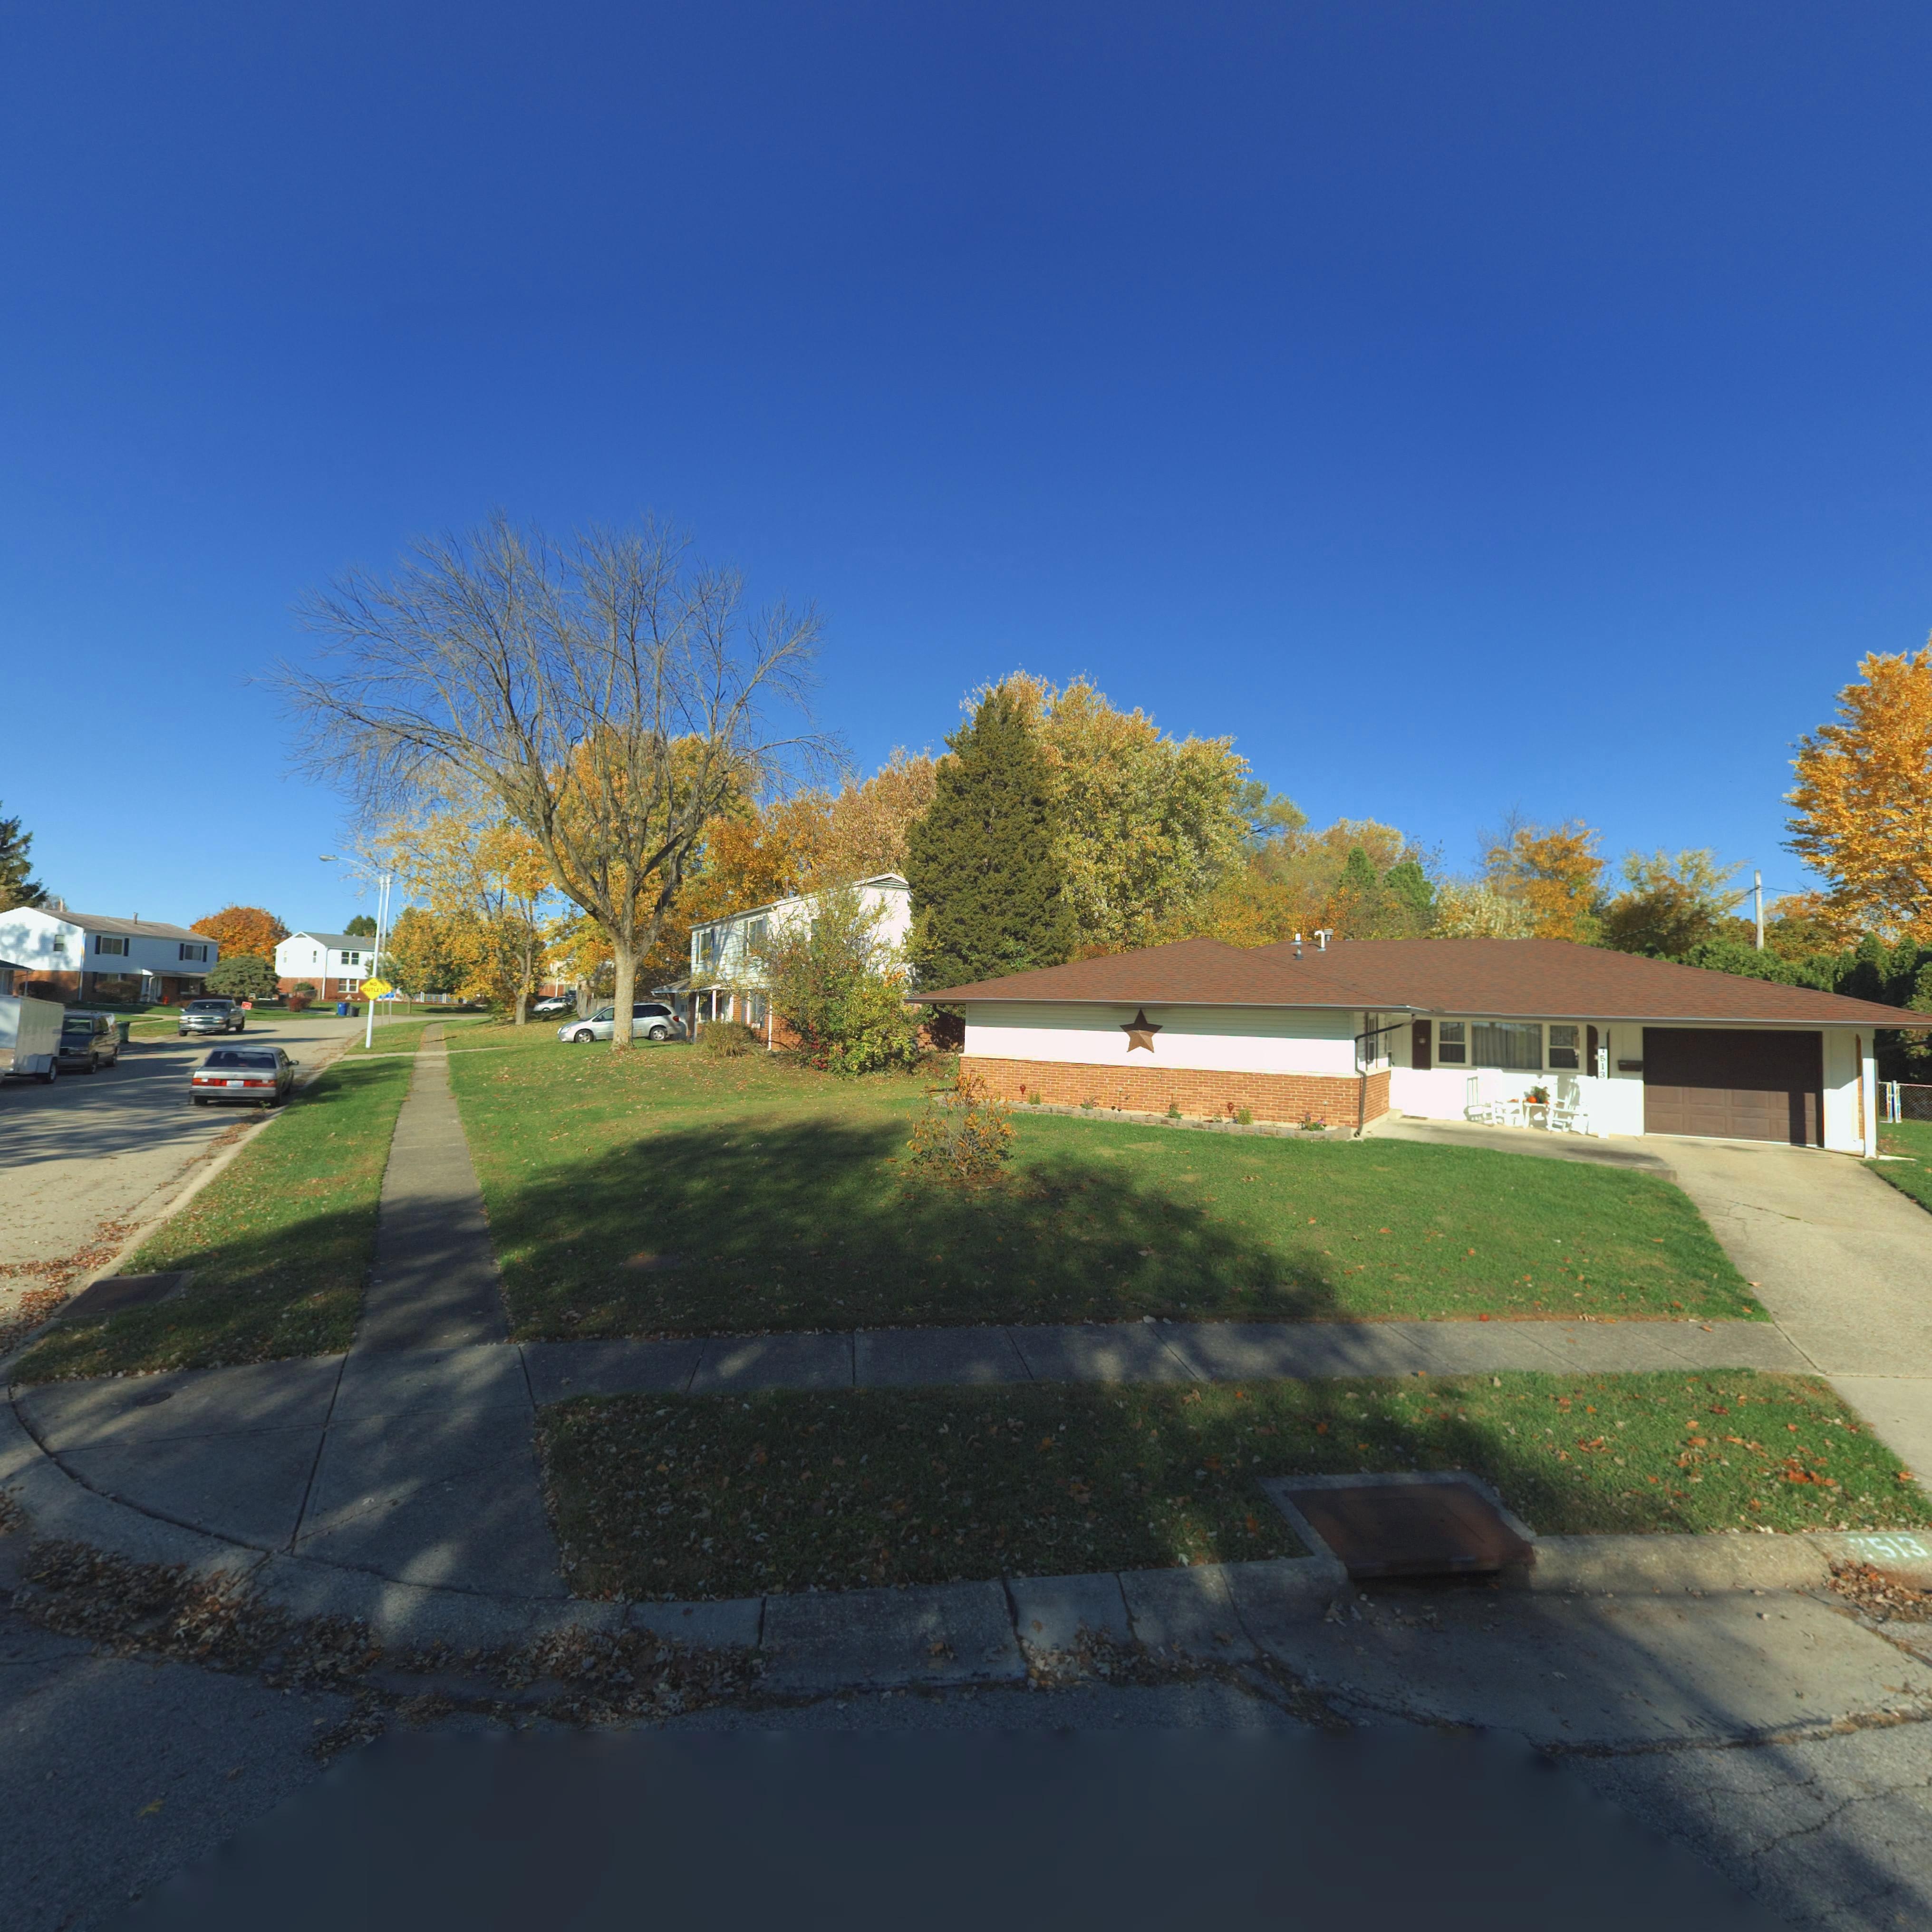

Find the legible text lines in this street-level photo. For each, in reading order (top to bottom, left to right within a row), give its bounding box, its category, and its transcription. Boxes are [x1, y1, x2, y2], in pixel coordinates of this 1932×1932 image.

[1598, 1045, 1607, 1080] StreetNumber: 7513
[1845, 1534, 1930, 1562] StreetNumber: *513